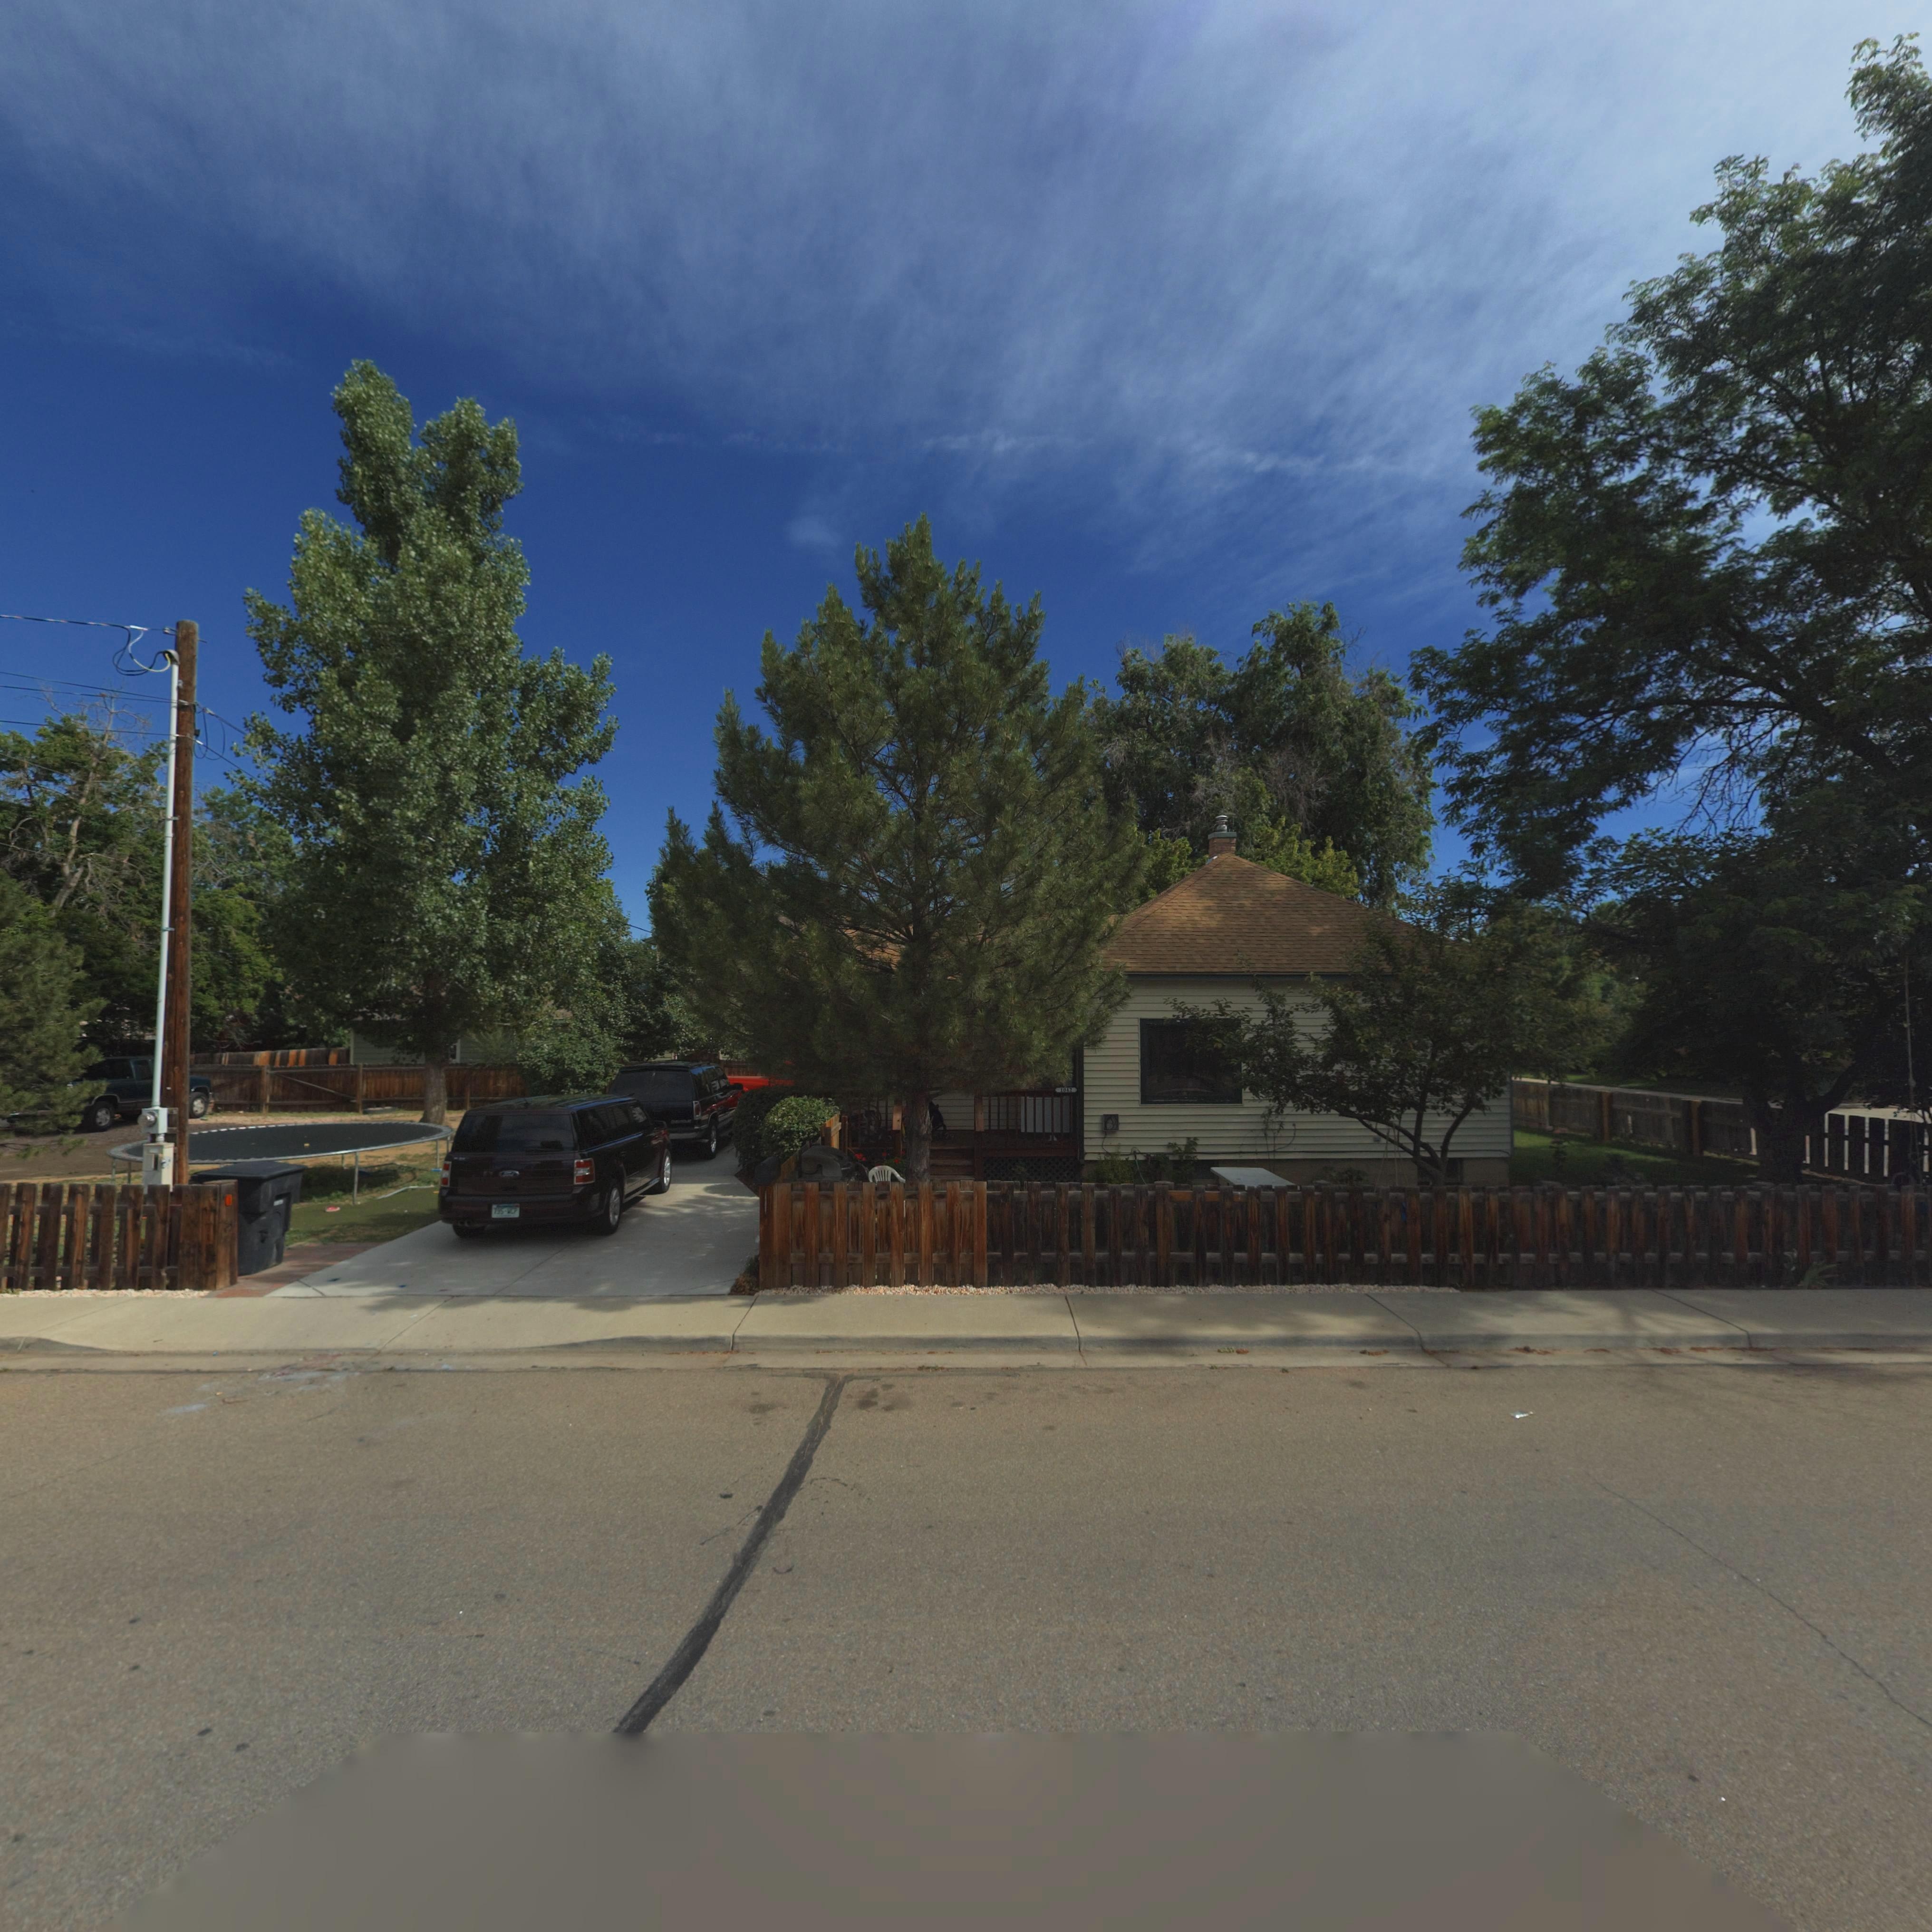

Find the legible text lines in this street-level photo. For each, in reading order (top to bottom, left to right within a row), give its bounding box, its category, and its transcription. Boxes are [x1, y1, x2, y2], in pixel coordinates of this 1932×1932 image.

[1060, 1087, 1072, 1092] StreetNumber: 1012